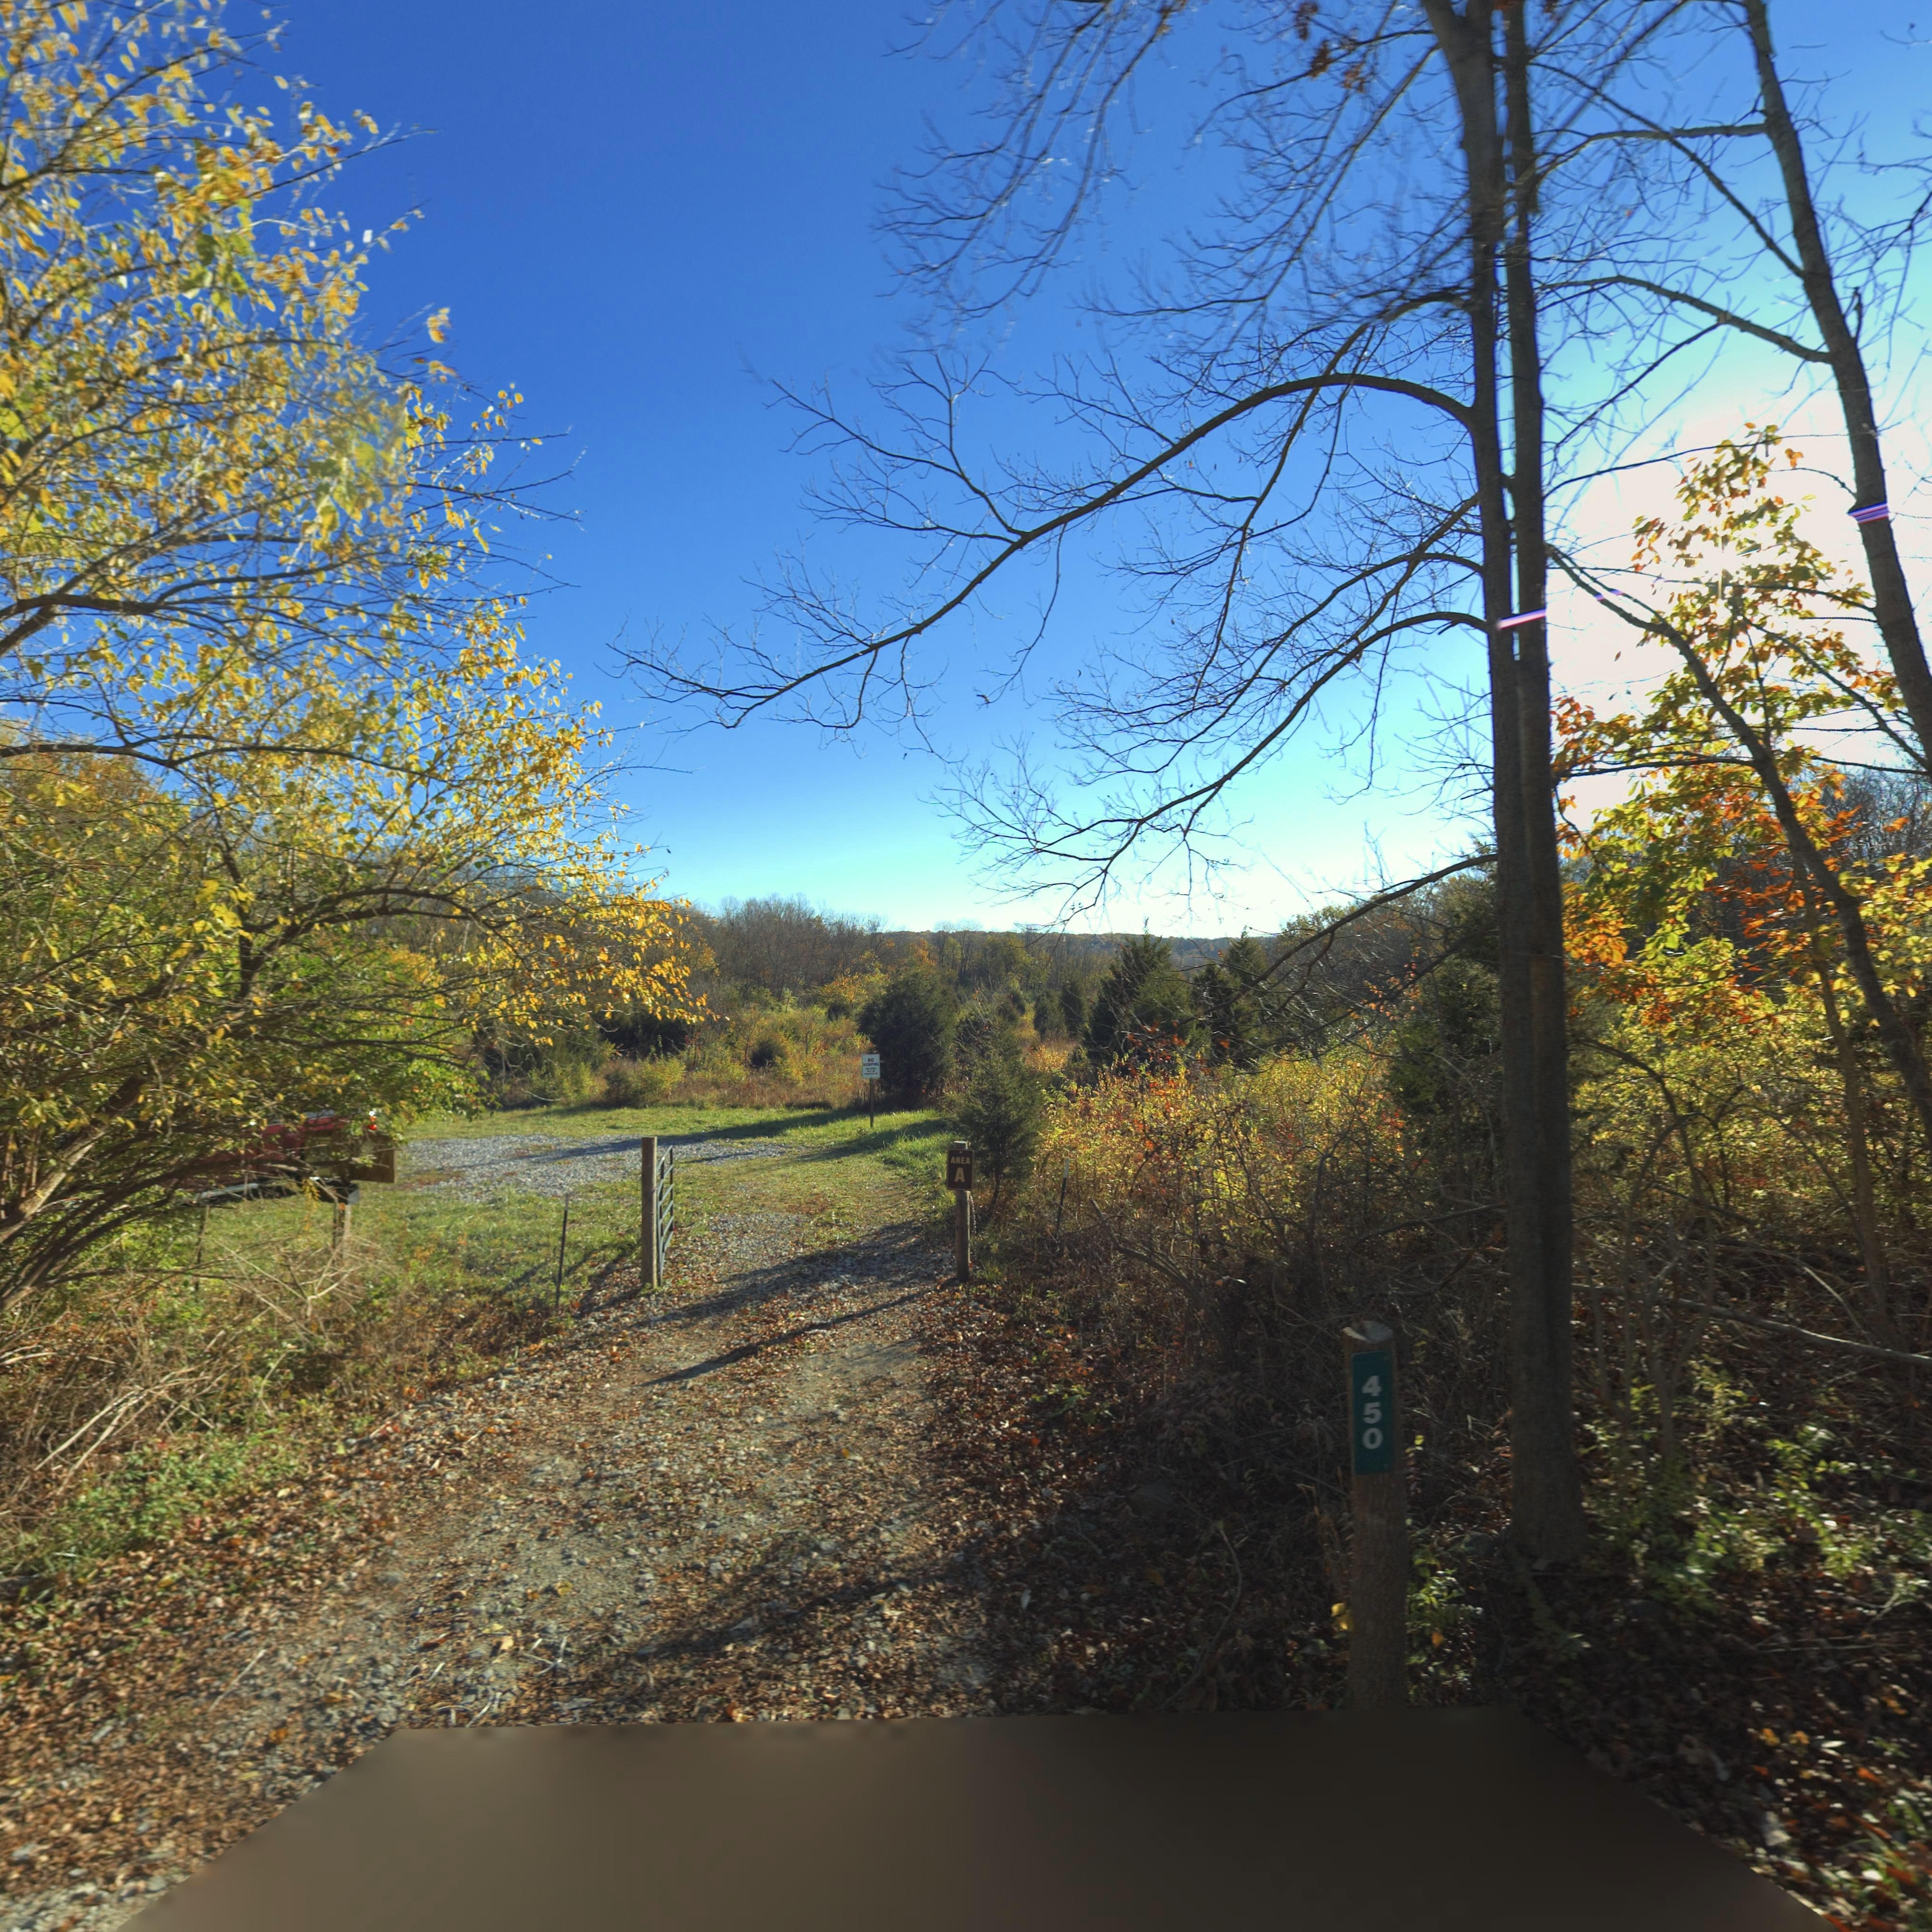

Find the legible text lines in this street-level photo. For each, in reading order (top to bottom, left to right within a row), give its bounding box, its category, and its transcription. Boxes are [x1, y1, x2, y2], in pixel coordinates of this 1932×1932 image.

[1360, 1374, 1383, 1450] StreetNumber: 450